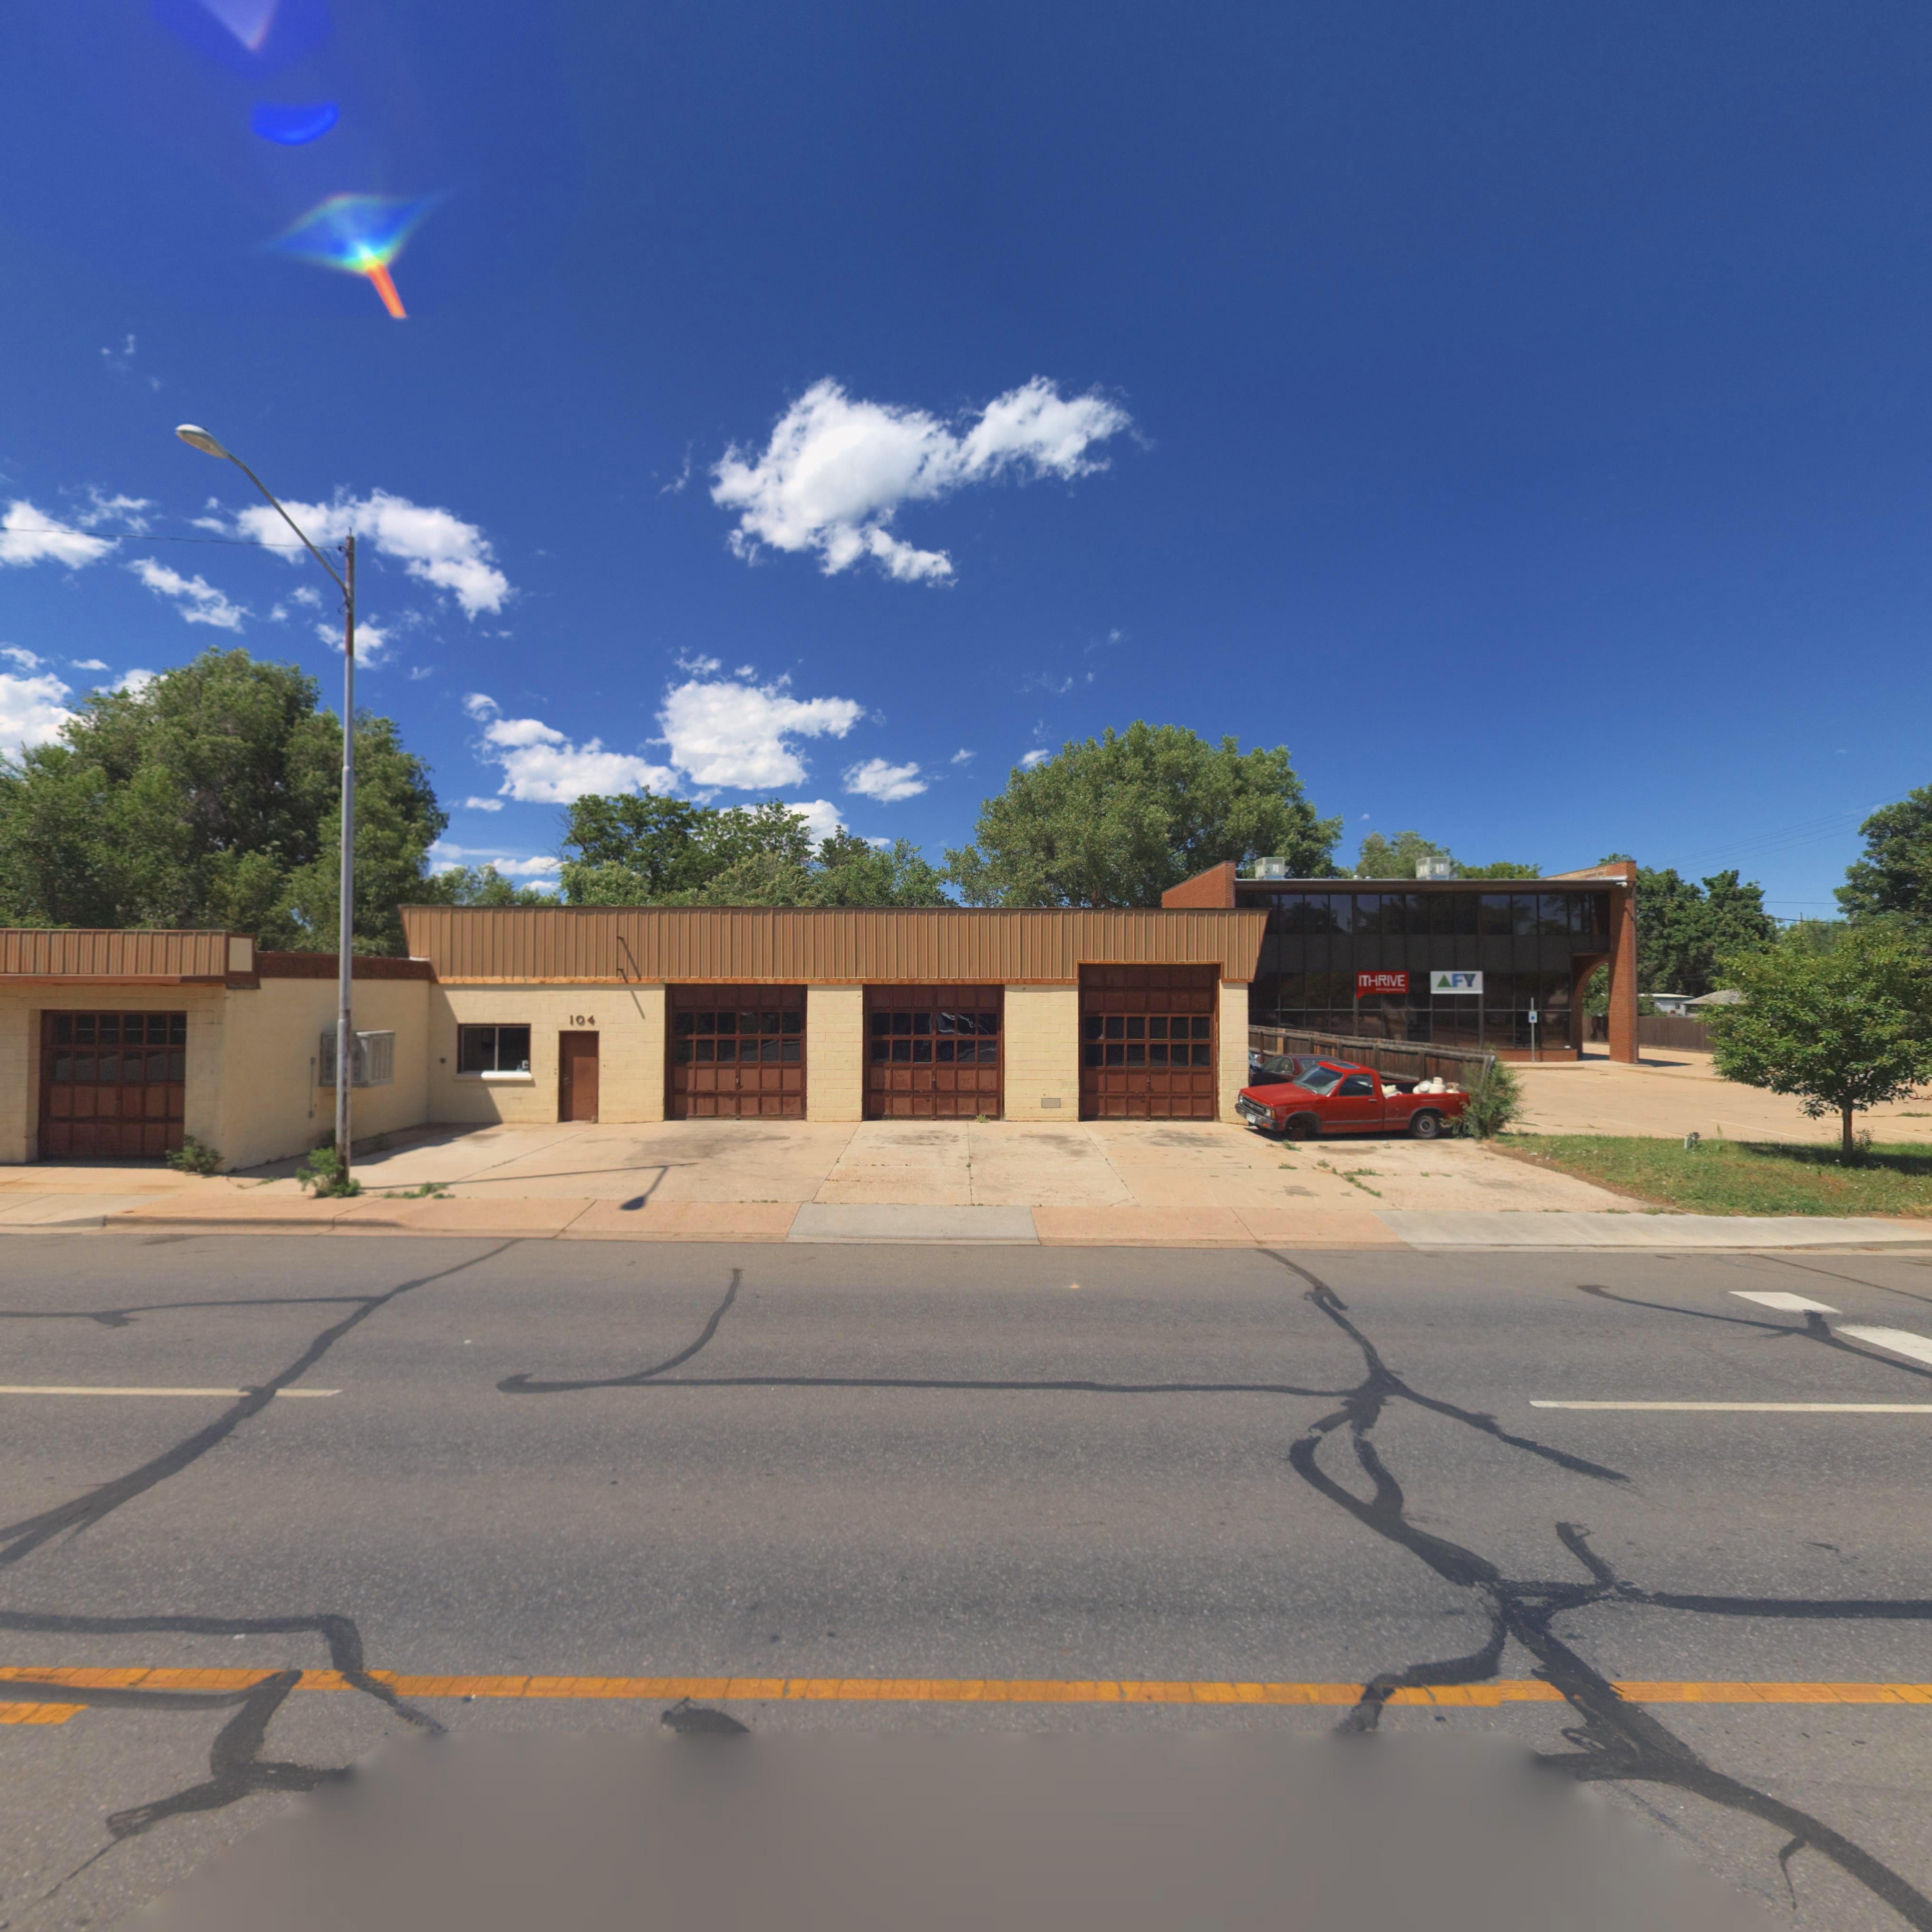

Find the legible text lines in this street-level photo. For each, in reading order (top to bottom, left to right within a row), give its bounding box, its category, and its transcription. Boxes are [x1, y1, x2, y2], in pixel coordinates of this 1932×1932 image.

[1358, 975, 1405, 986] BusinessName: ITHRIVE
[1452, 973, 1477, 987] BusinessName: FY
[570, 1014, 594, 1024] StreetNumber: 104